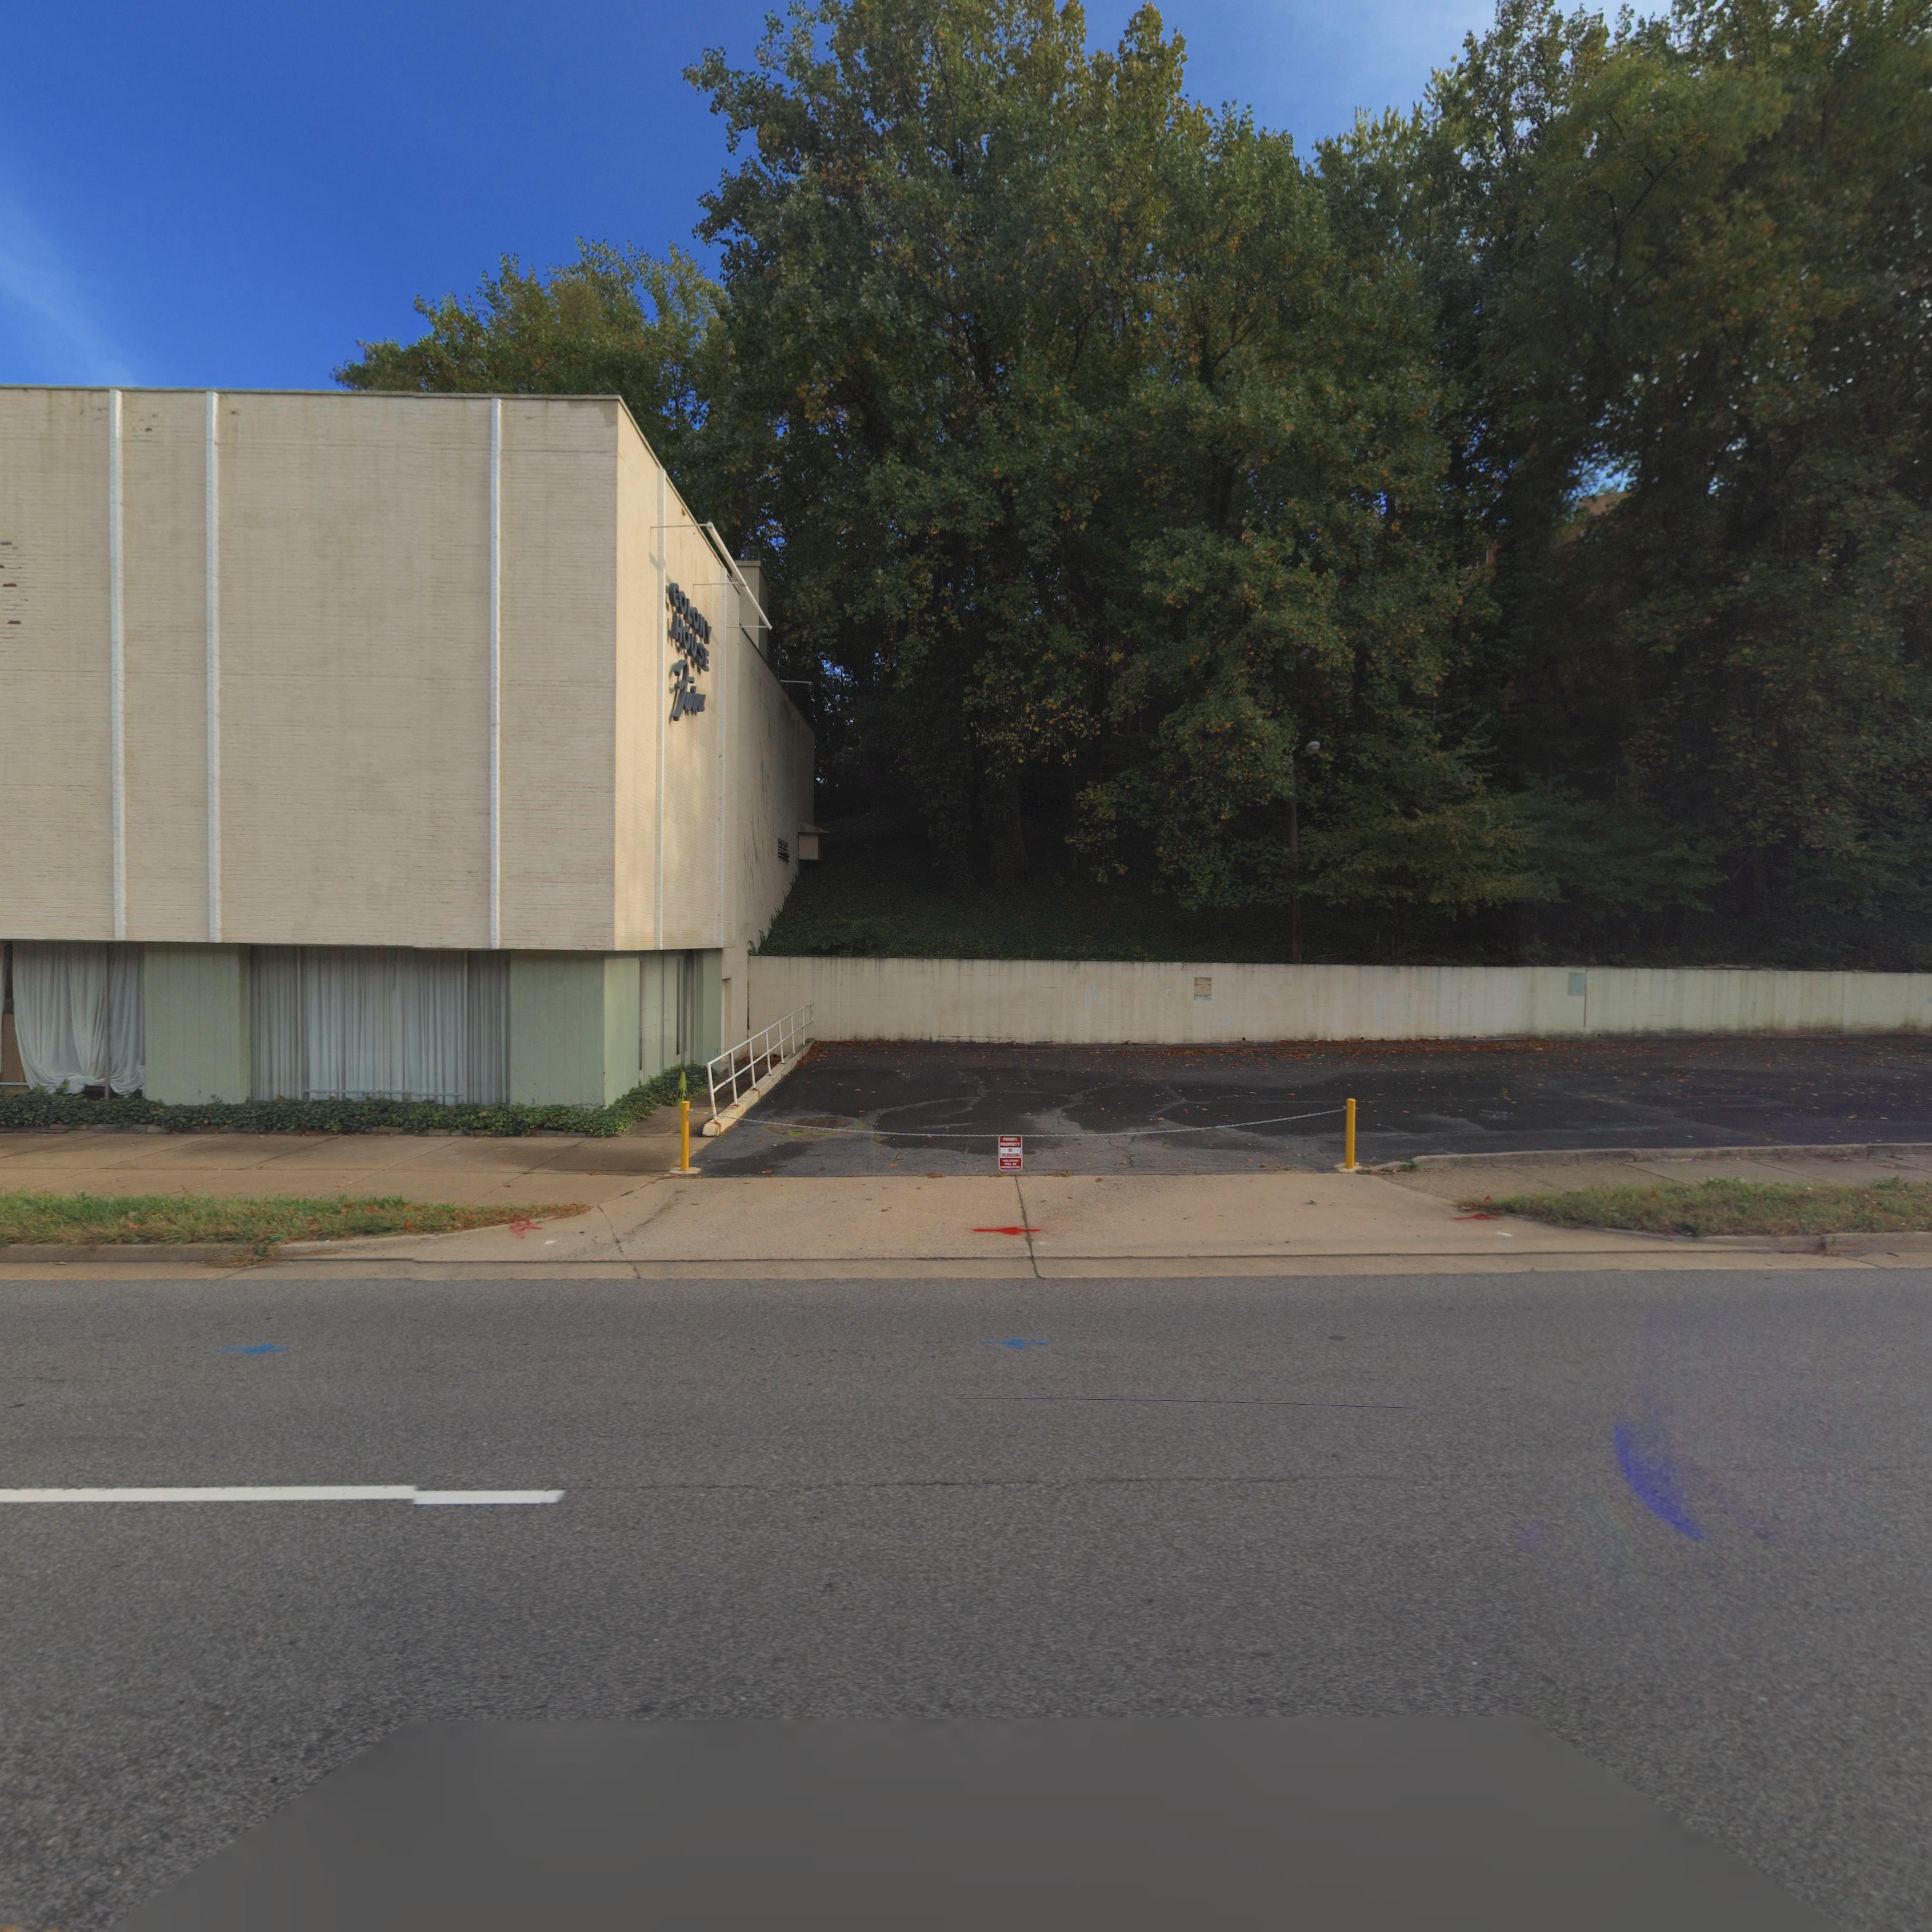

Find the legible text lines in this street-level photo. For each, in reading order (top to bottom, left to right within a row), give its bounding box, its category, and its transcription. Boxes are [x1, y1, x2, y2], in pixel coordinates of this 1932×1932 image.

[670, 581, 714, 646] BusinessName: COLONY
[674, 612, 711, 675] BusinessName: HOUSE
[673, 659, 698, 725] BusinessName: fur